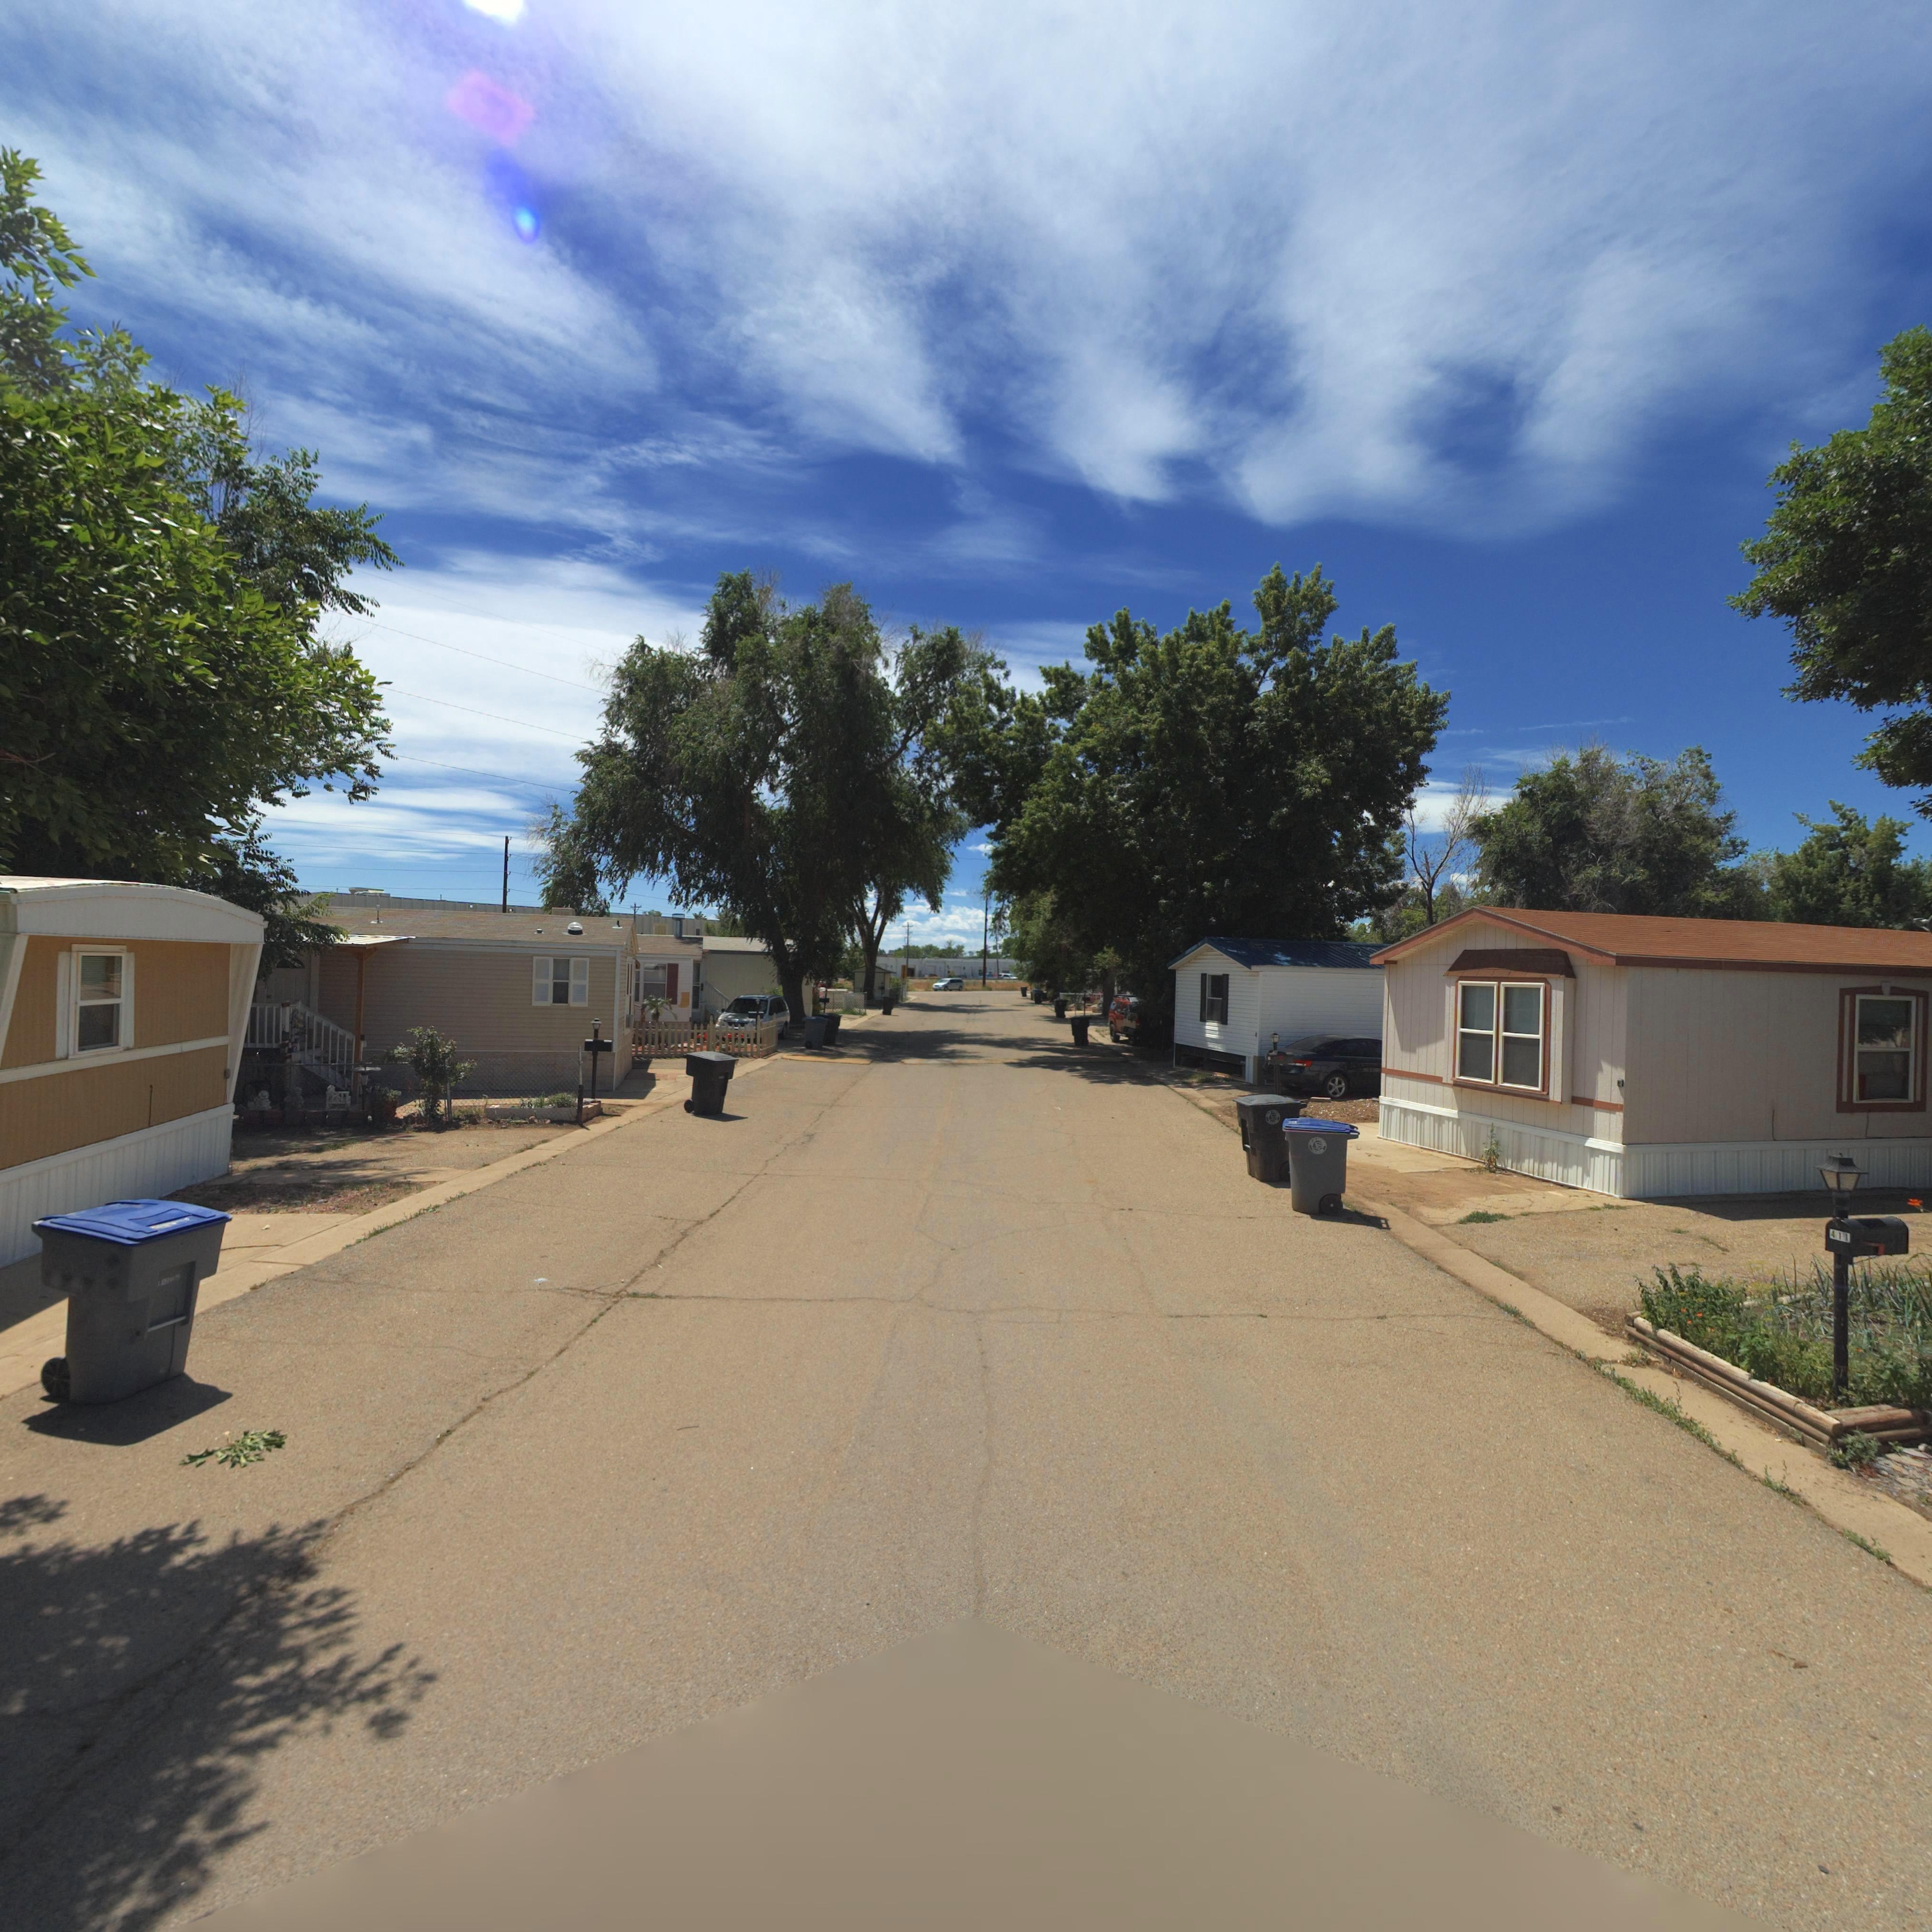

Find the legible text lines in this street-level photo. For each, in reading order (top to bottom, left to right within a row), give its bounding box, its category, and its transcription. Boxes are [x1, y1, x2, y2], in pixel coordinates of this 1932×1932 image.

[1830, 1229, 1849, 1242] StreetNumber: 411